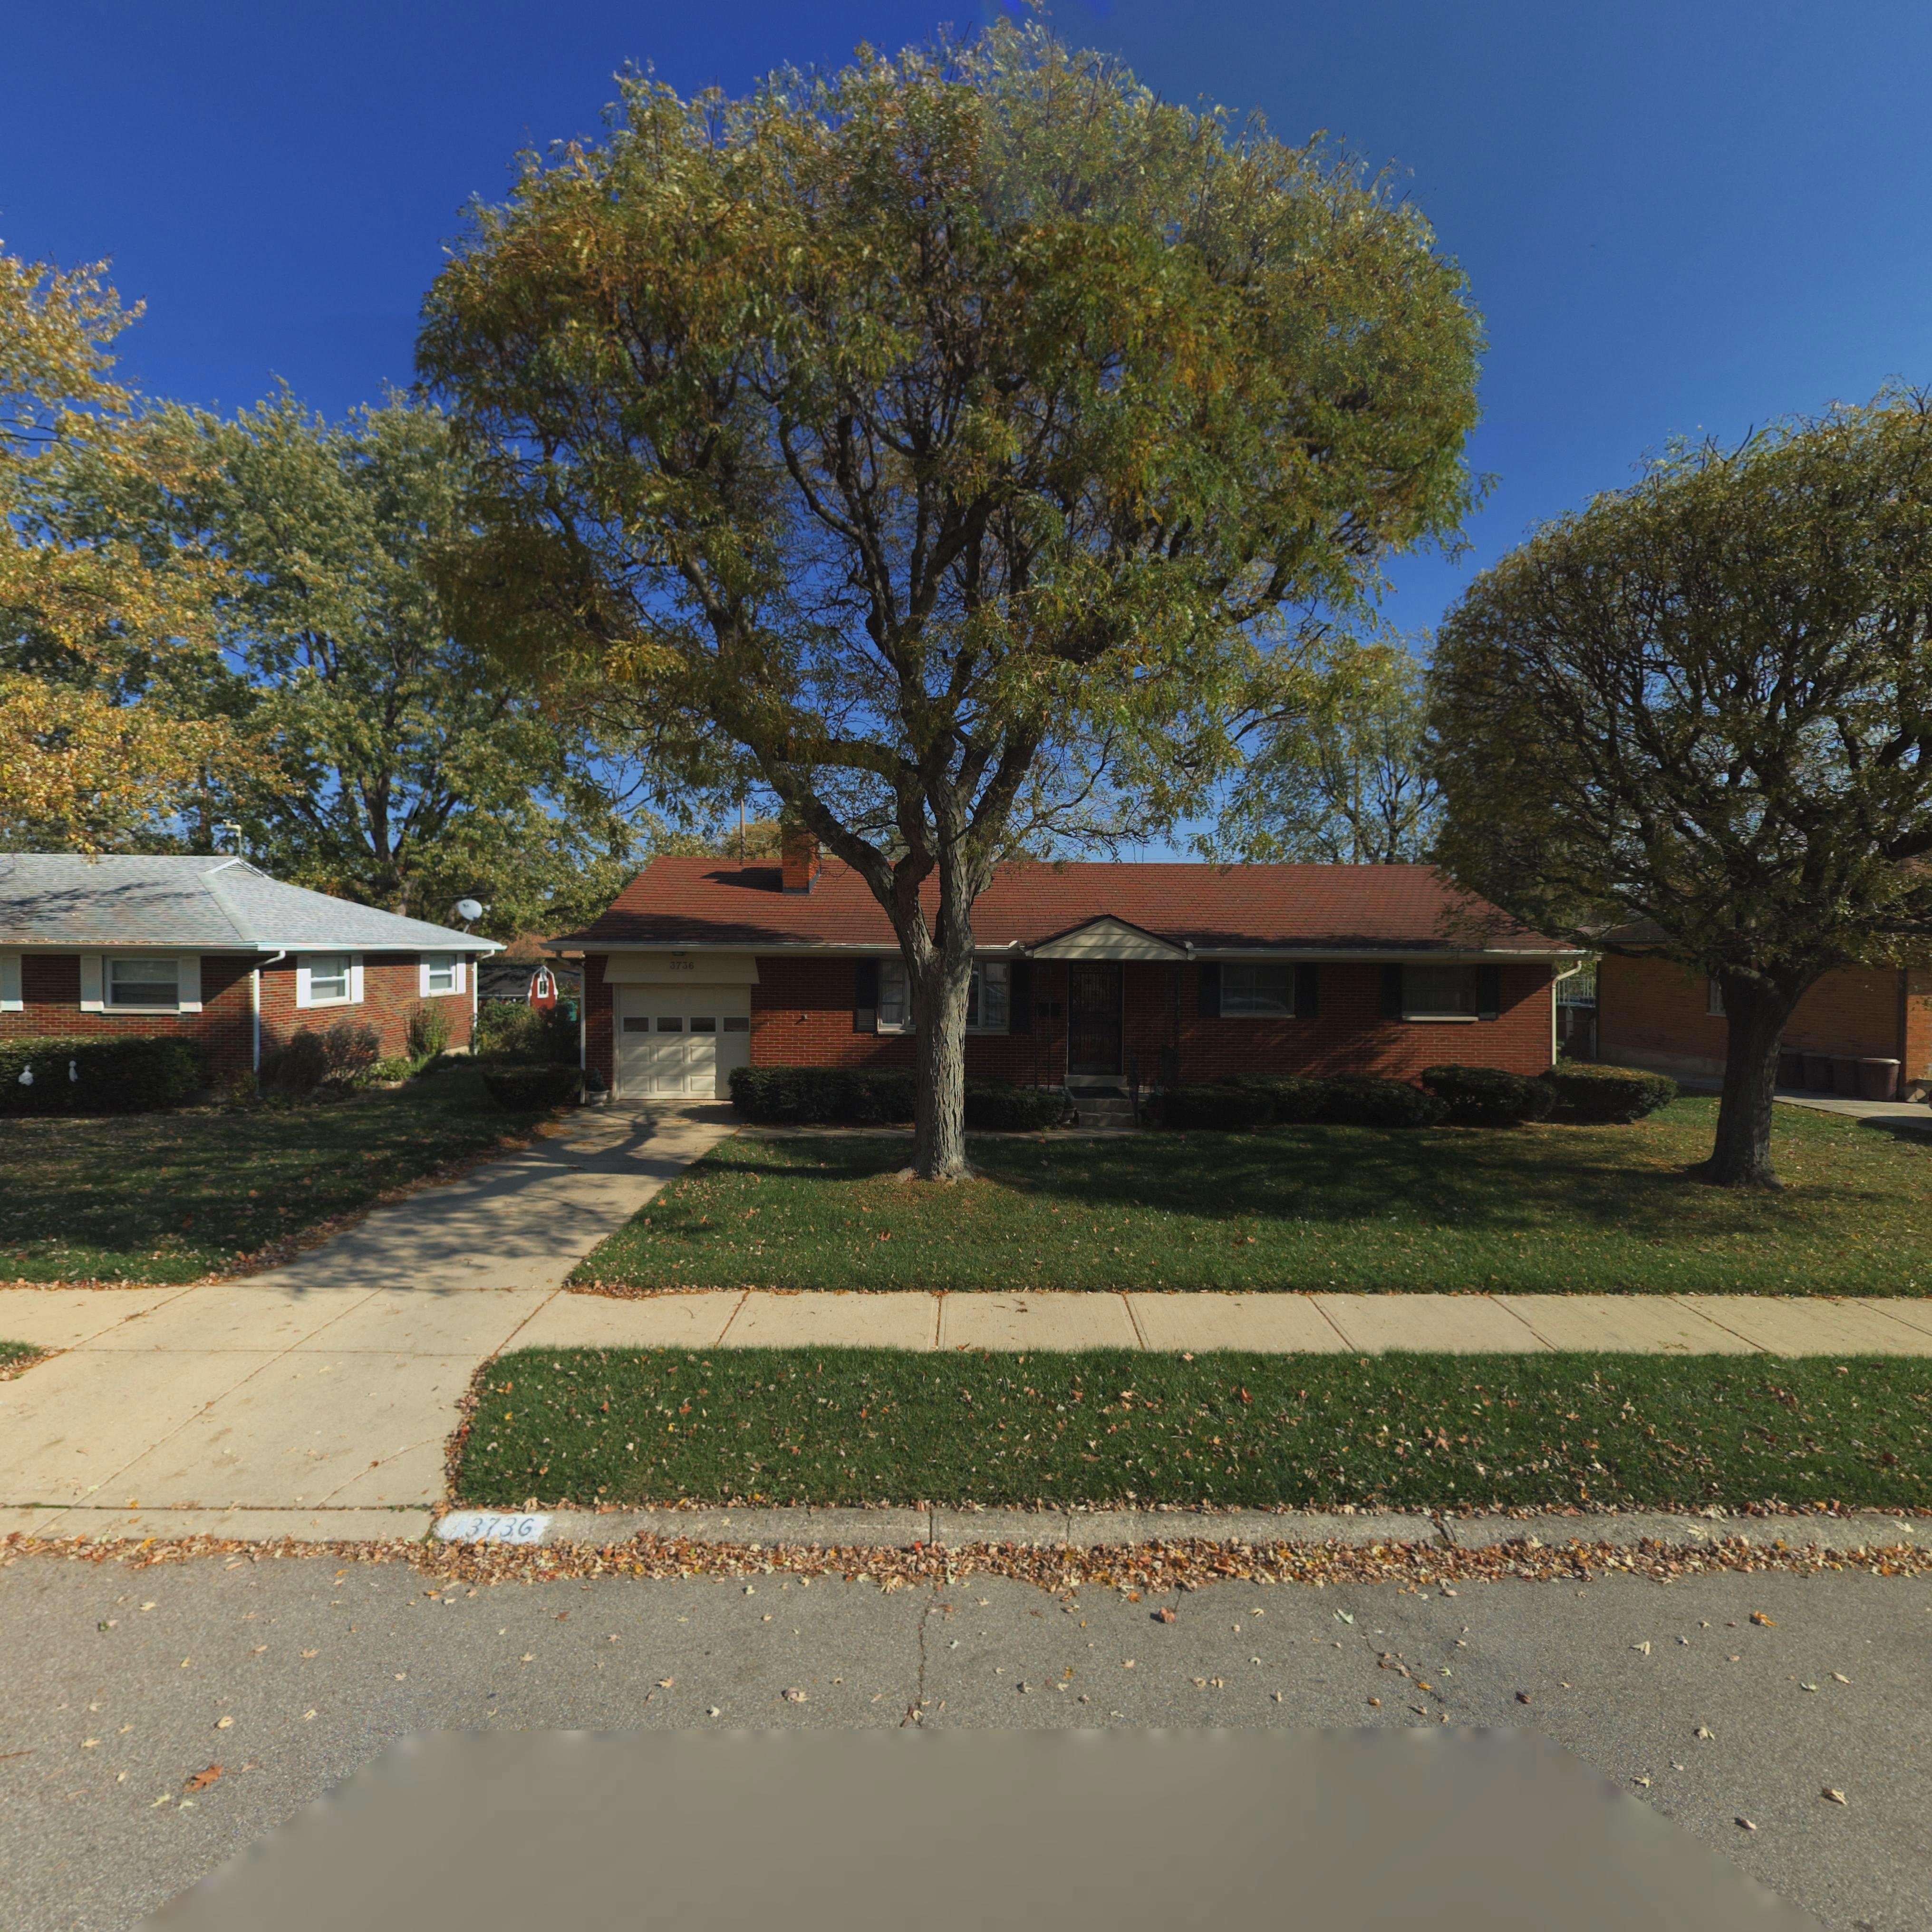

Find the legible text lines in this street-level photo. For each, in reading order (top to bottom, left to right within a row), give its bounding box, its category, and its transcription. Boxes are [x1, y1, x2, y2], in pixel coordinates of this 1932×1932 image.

[668, 960, 696, 971] StreetNumber: 3736
[463, 1516, 537, 1539] StreetNumber: 3736